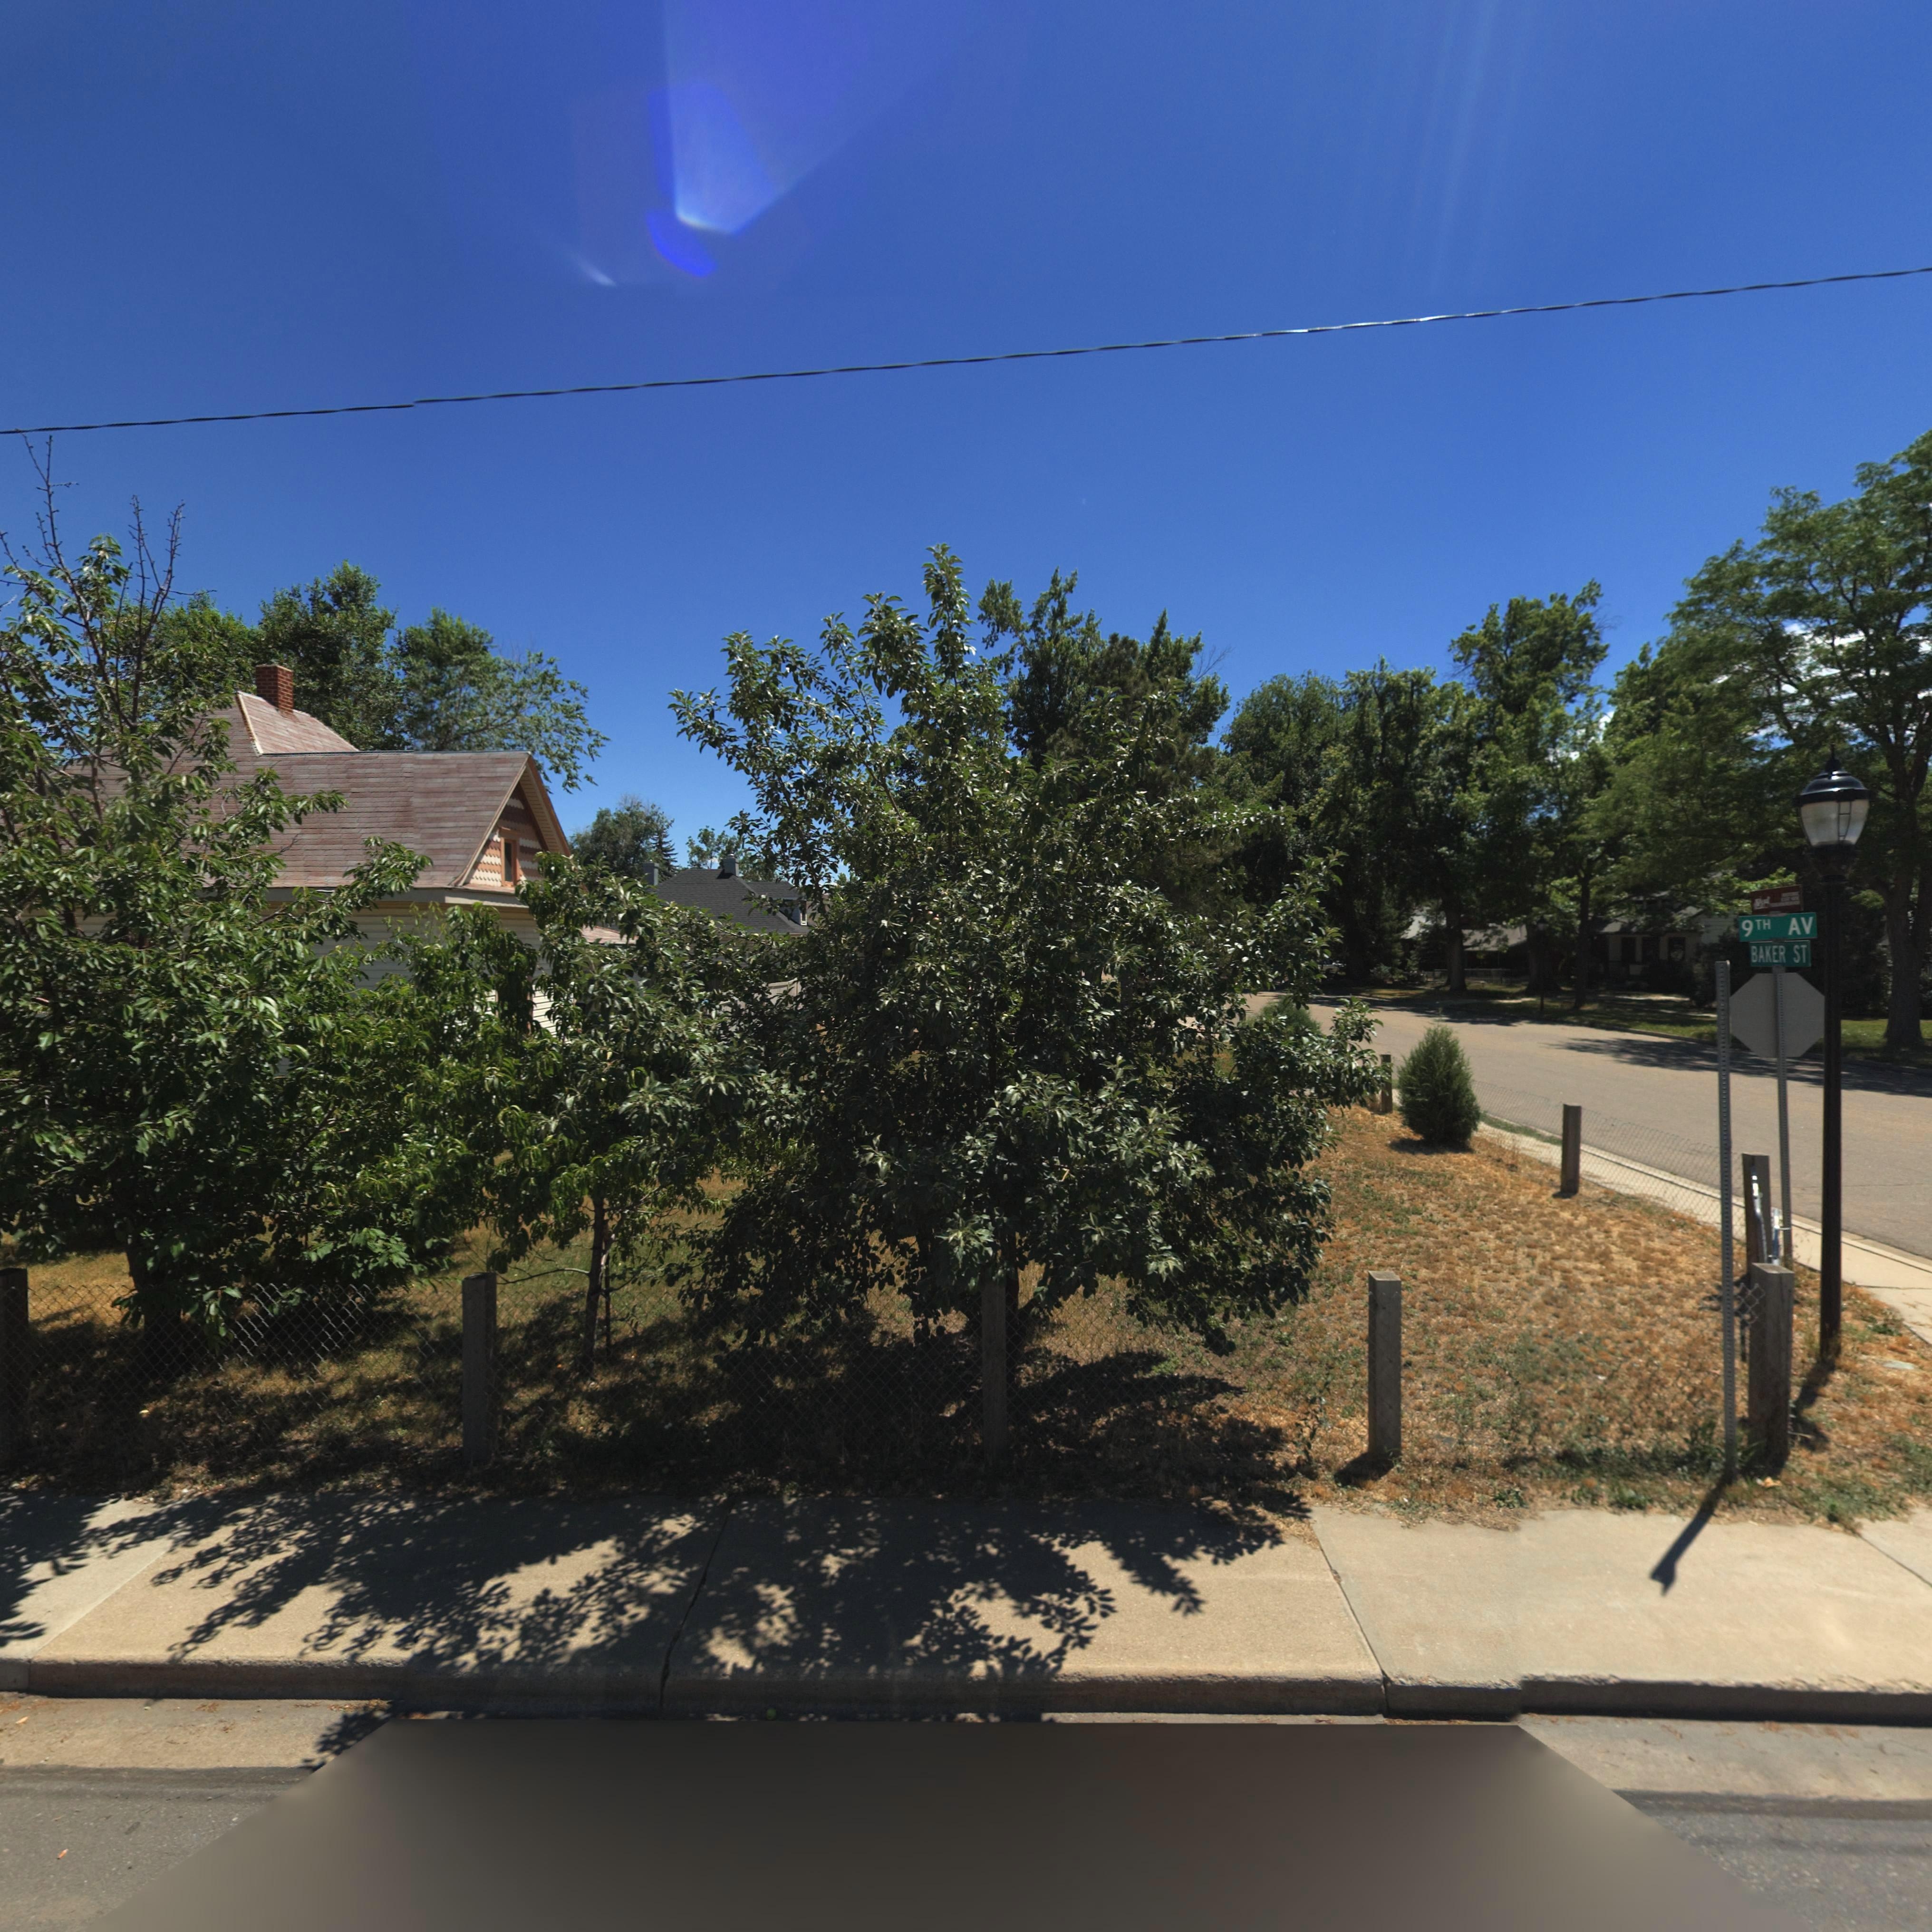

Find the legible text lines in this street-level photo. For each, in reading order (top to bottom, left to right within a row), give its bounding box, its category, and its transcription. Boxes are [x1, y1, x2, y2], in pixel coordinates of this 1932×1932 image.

[1741, 916, 1814, 937] StreetName: 9TH AV
[1750, 945, 1807, 963] StreetName: BAKER ST